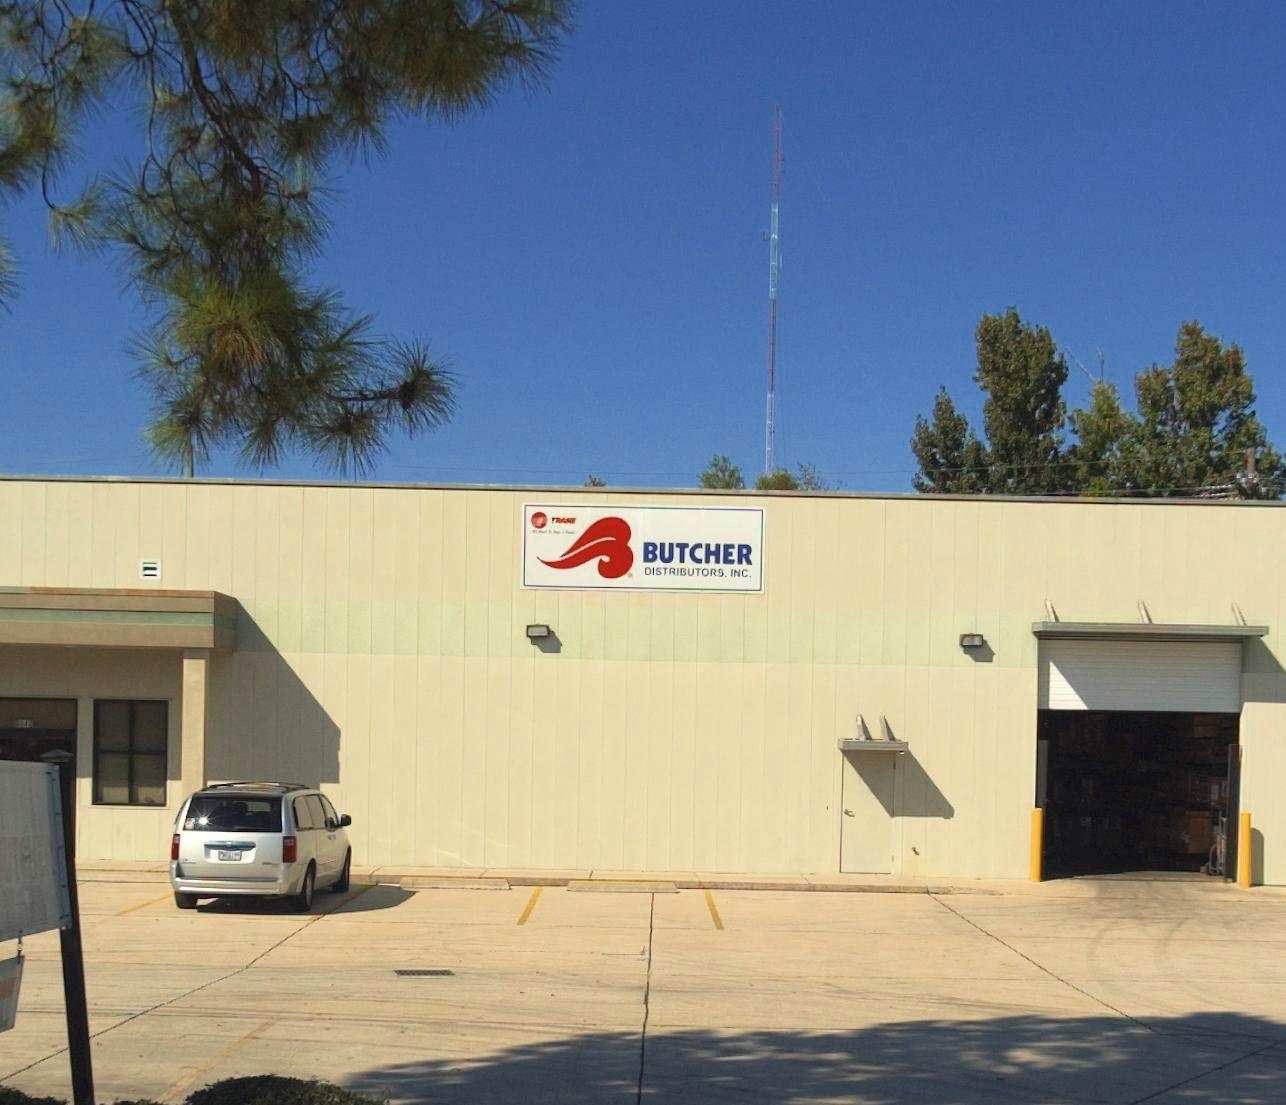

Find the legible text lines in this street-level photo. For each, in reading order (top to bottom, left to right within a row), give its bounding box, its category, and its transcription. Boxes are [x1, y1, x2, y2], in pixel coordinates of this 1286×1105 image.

[640, 539, 755, 567] BusinessName: Butcher Distributors INC
[642, 564, 753, 580] BusinessName: DISTRIBUTORS INC.